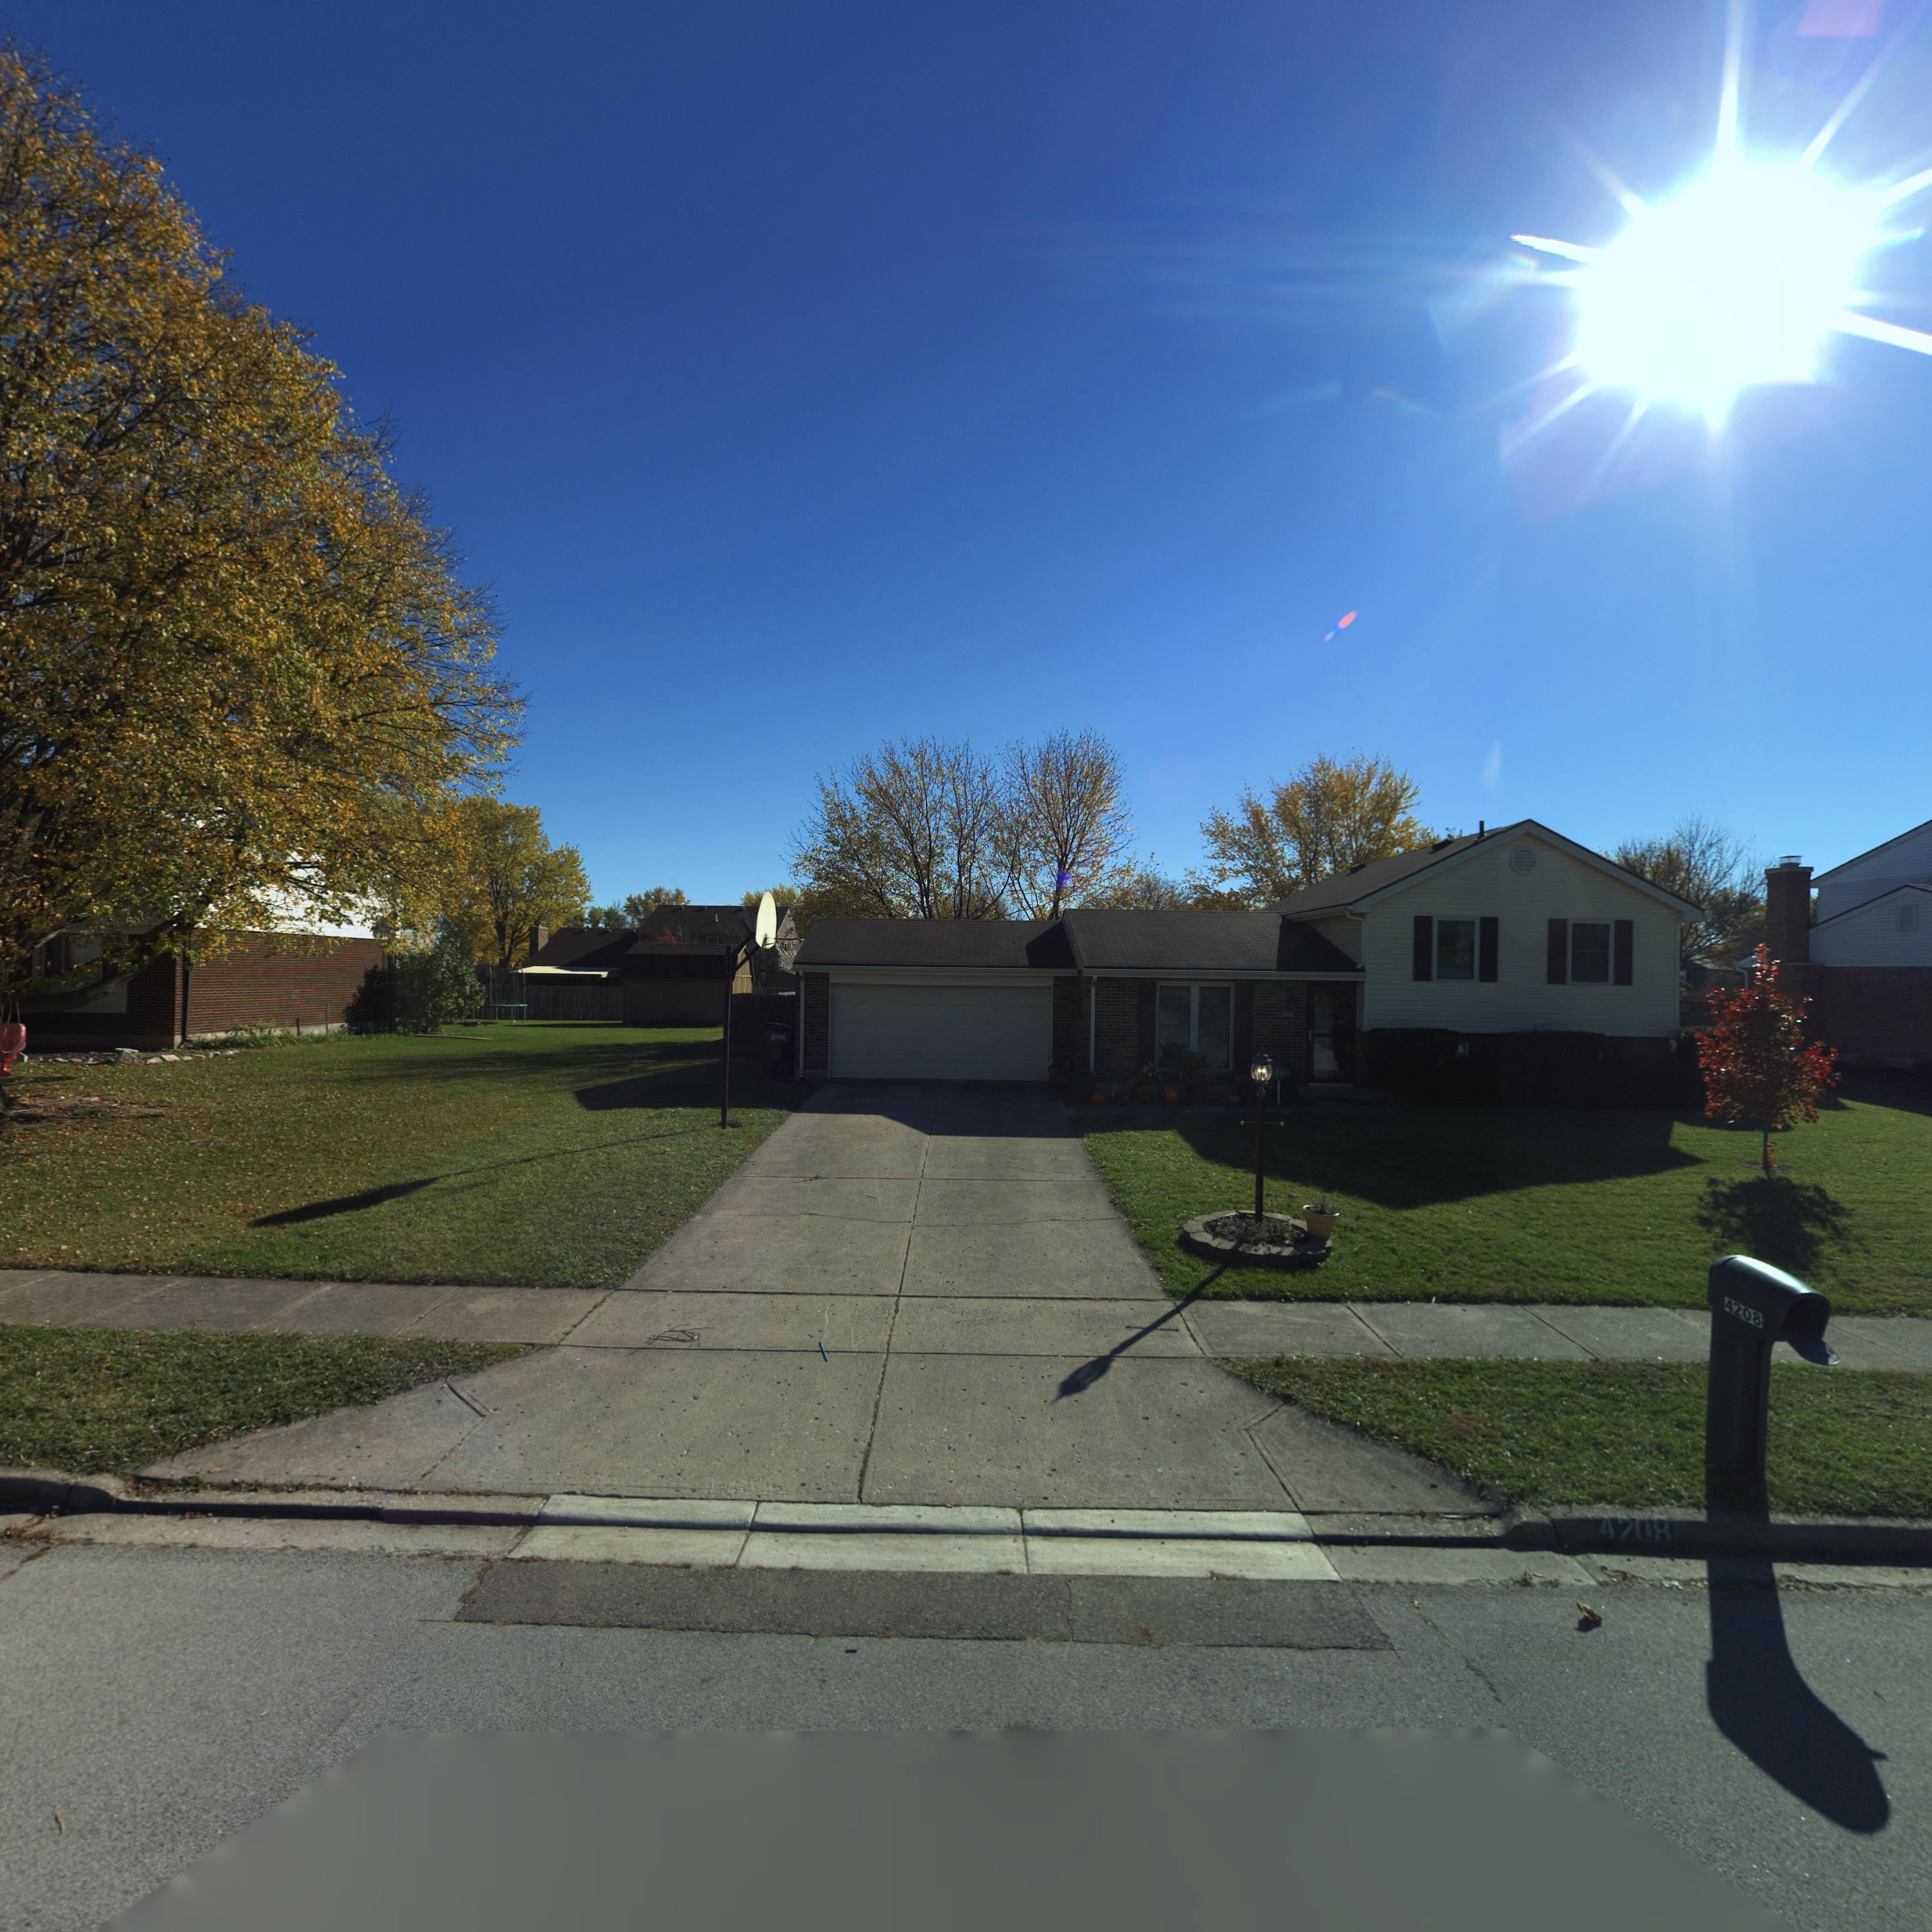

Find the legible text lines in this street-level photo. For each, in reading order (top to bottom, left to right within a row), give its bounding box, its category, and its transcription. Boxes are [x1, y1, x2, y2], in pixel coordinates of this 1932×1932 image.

[1283, 1011, 1294, 1017] StreetNumber: *20*
[1725, 1297, 1761, 1328] StreetNumber: 4208